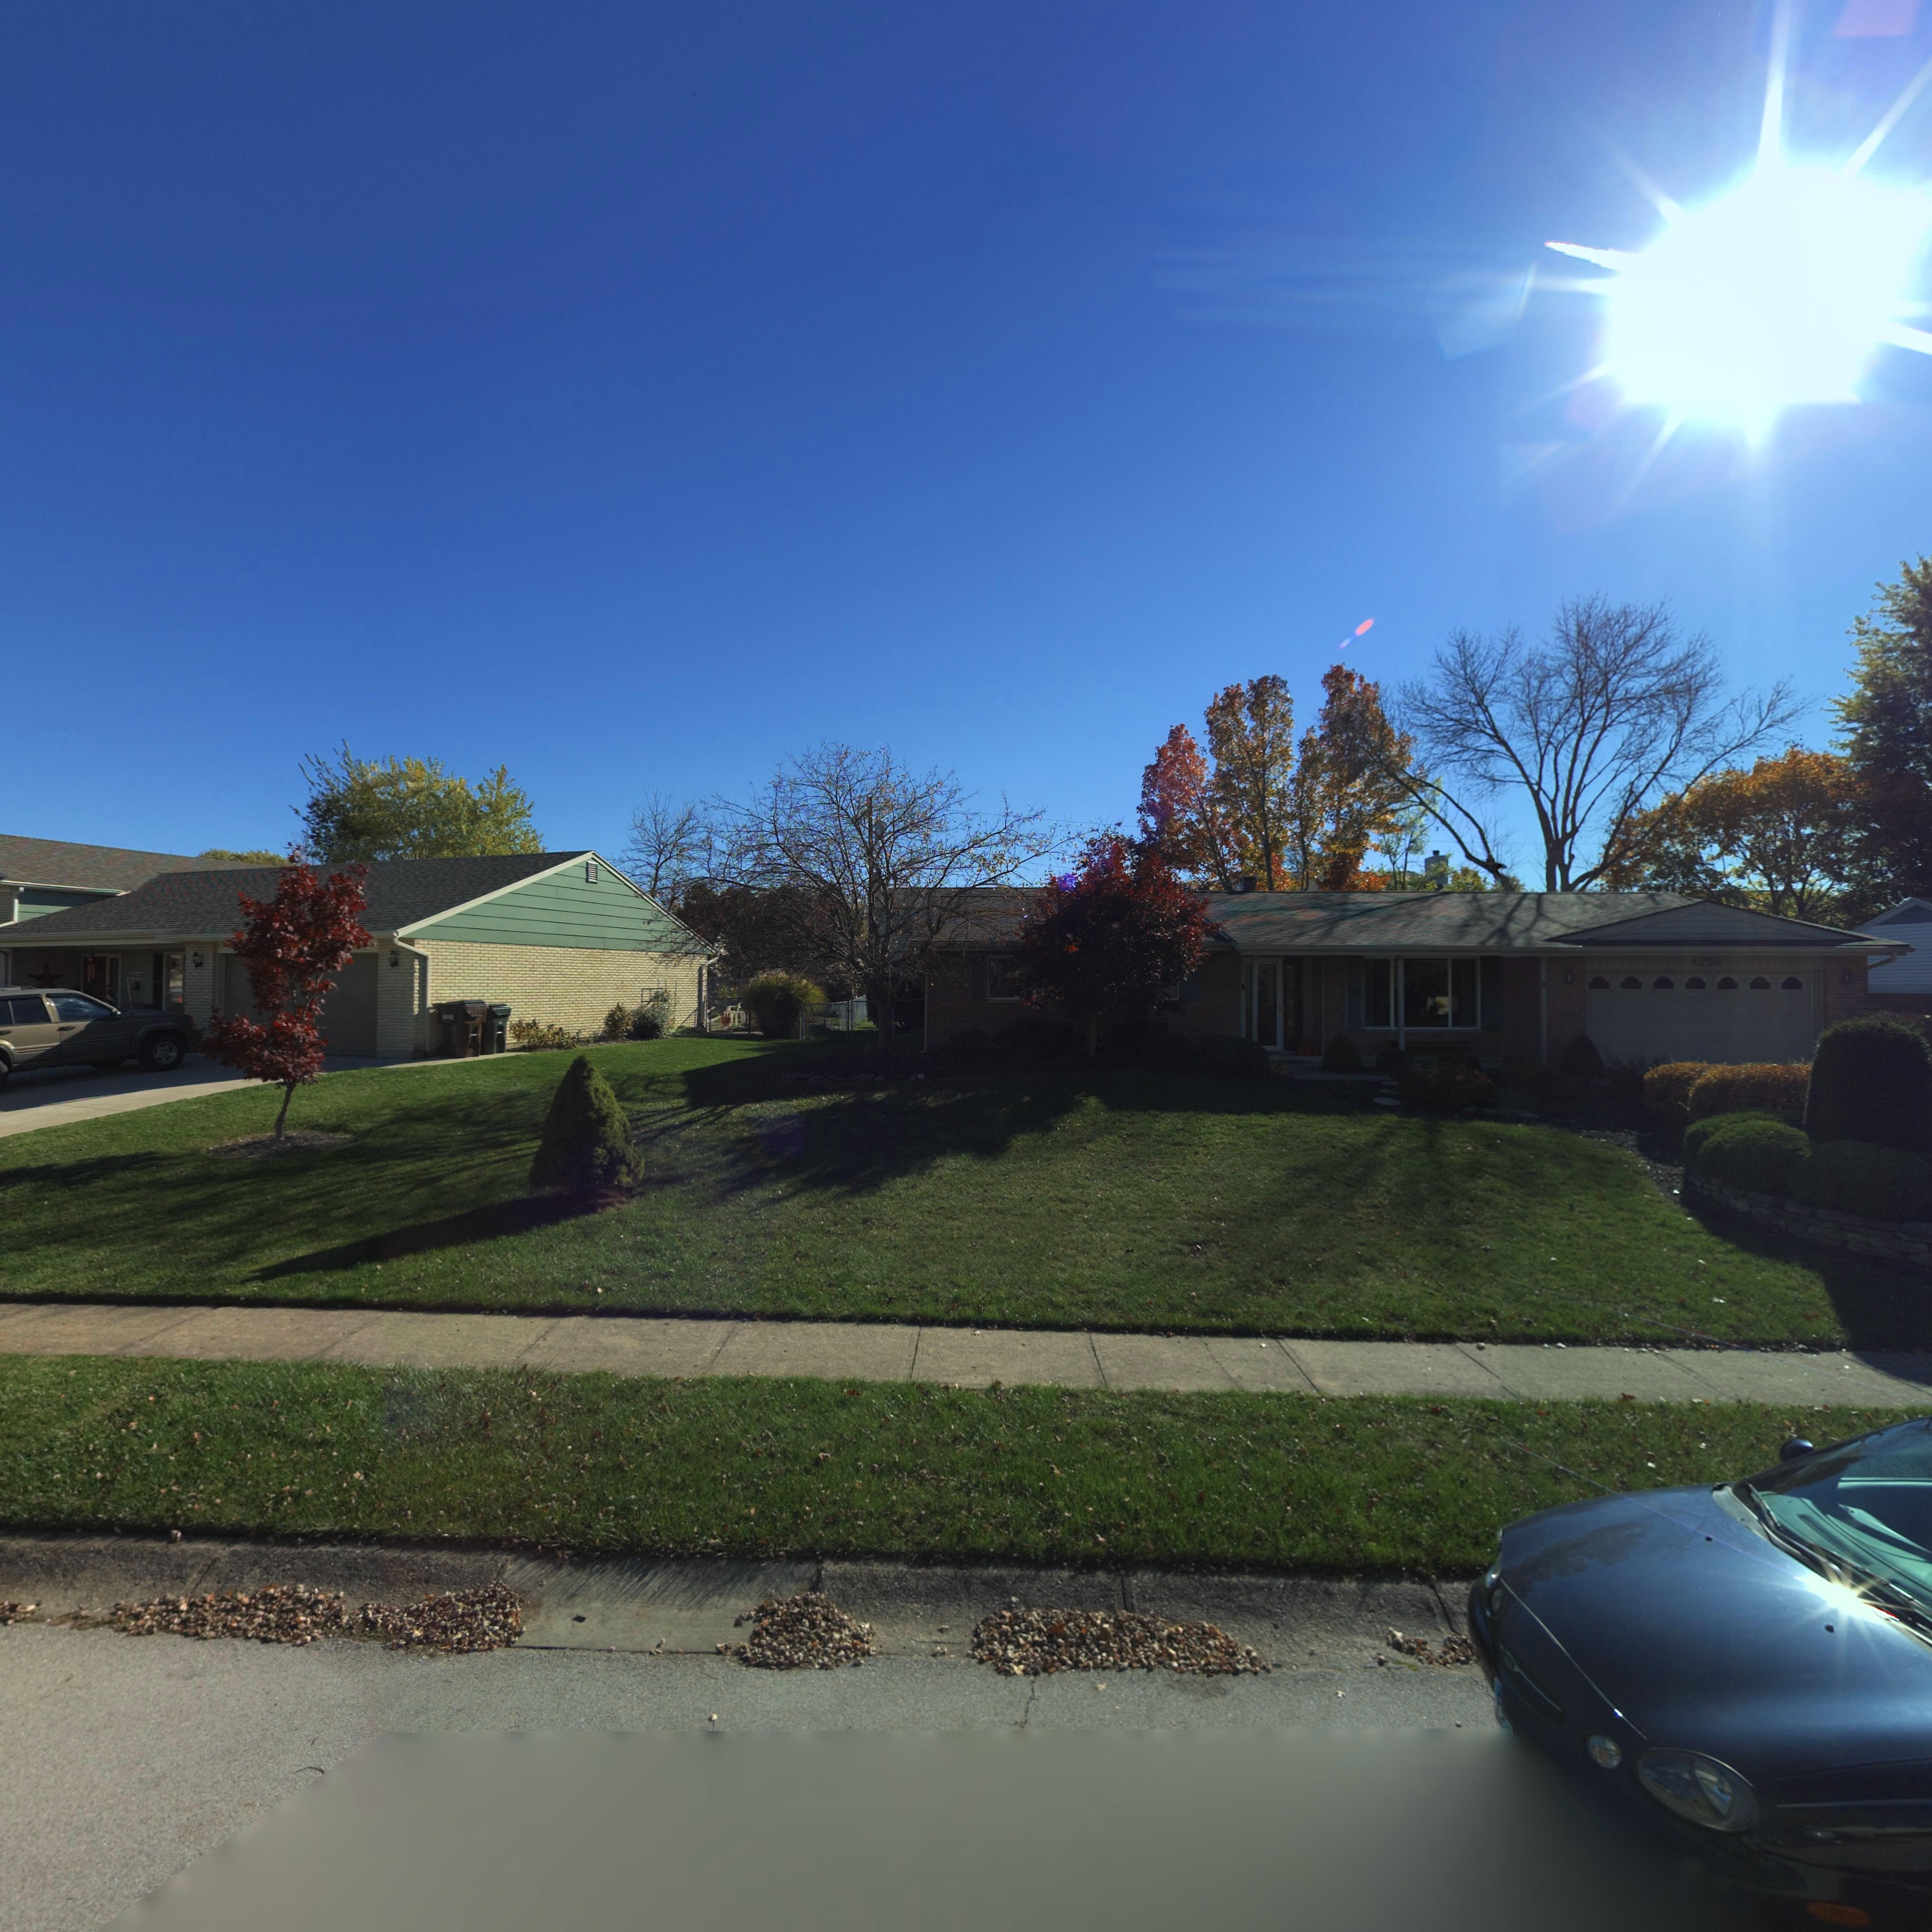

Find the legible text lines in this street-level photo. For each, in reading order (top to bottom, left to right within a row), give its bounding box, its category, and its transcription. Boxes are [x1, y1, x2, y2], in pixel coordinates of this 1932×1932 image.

[1690, 956, 1722, 968] StreetNumber: 4250